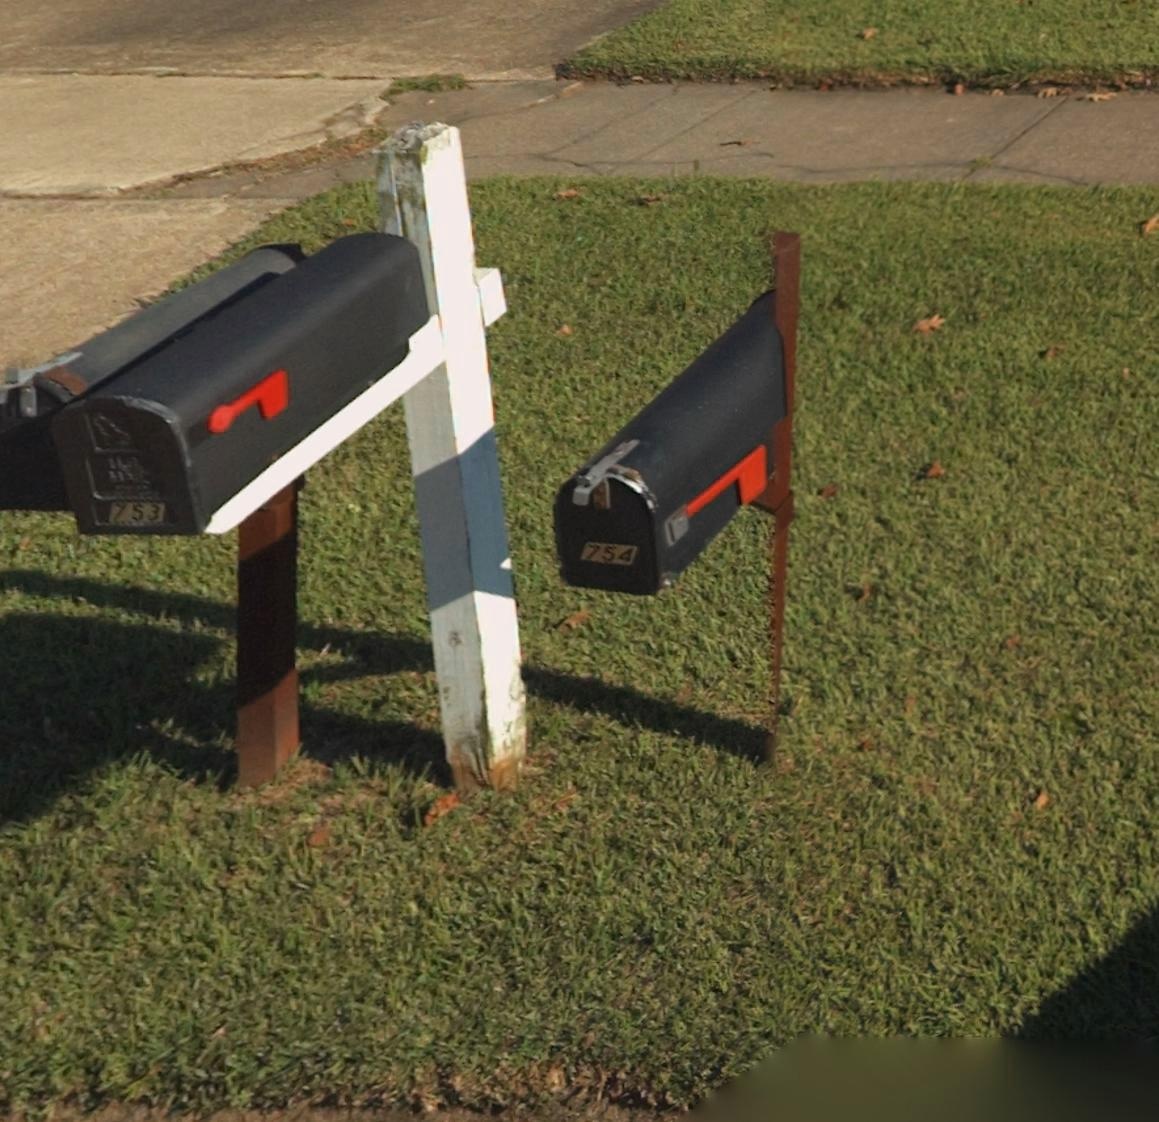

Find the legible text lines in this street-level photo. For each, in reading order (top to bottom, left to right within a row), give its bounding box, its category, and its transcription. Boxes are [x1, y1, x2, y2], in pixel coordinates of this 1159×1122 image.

[111, 502, 161, 521] StreetNumber: 753
[584, 543, 637, 564] StreetNumber: 754